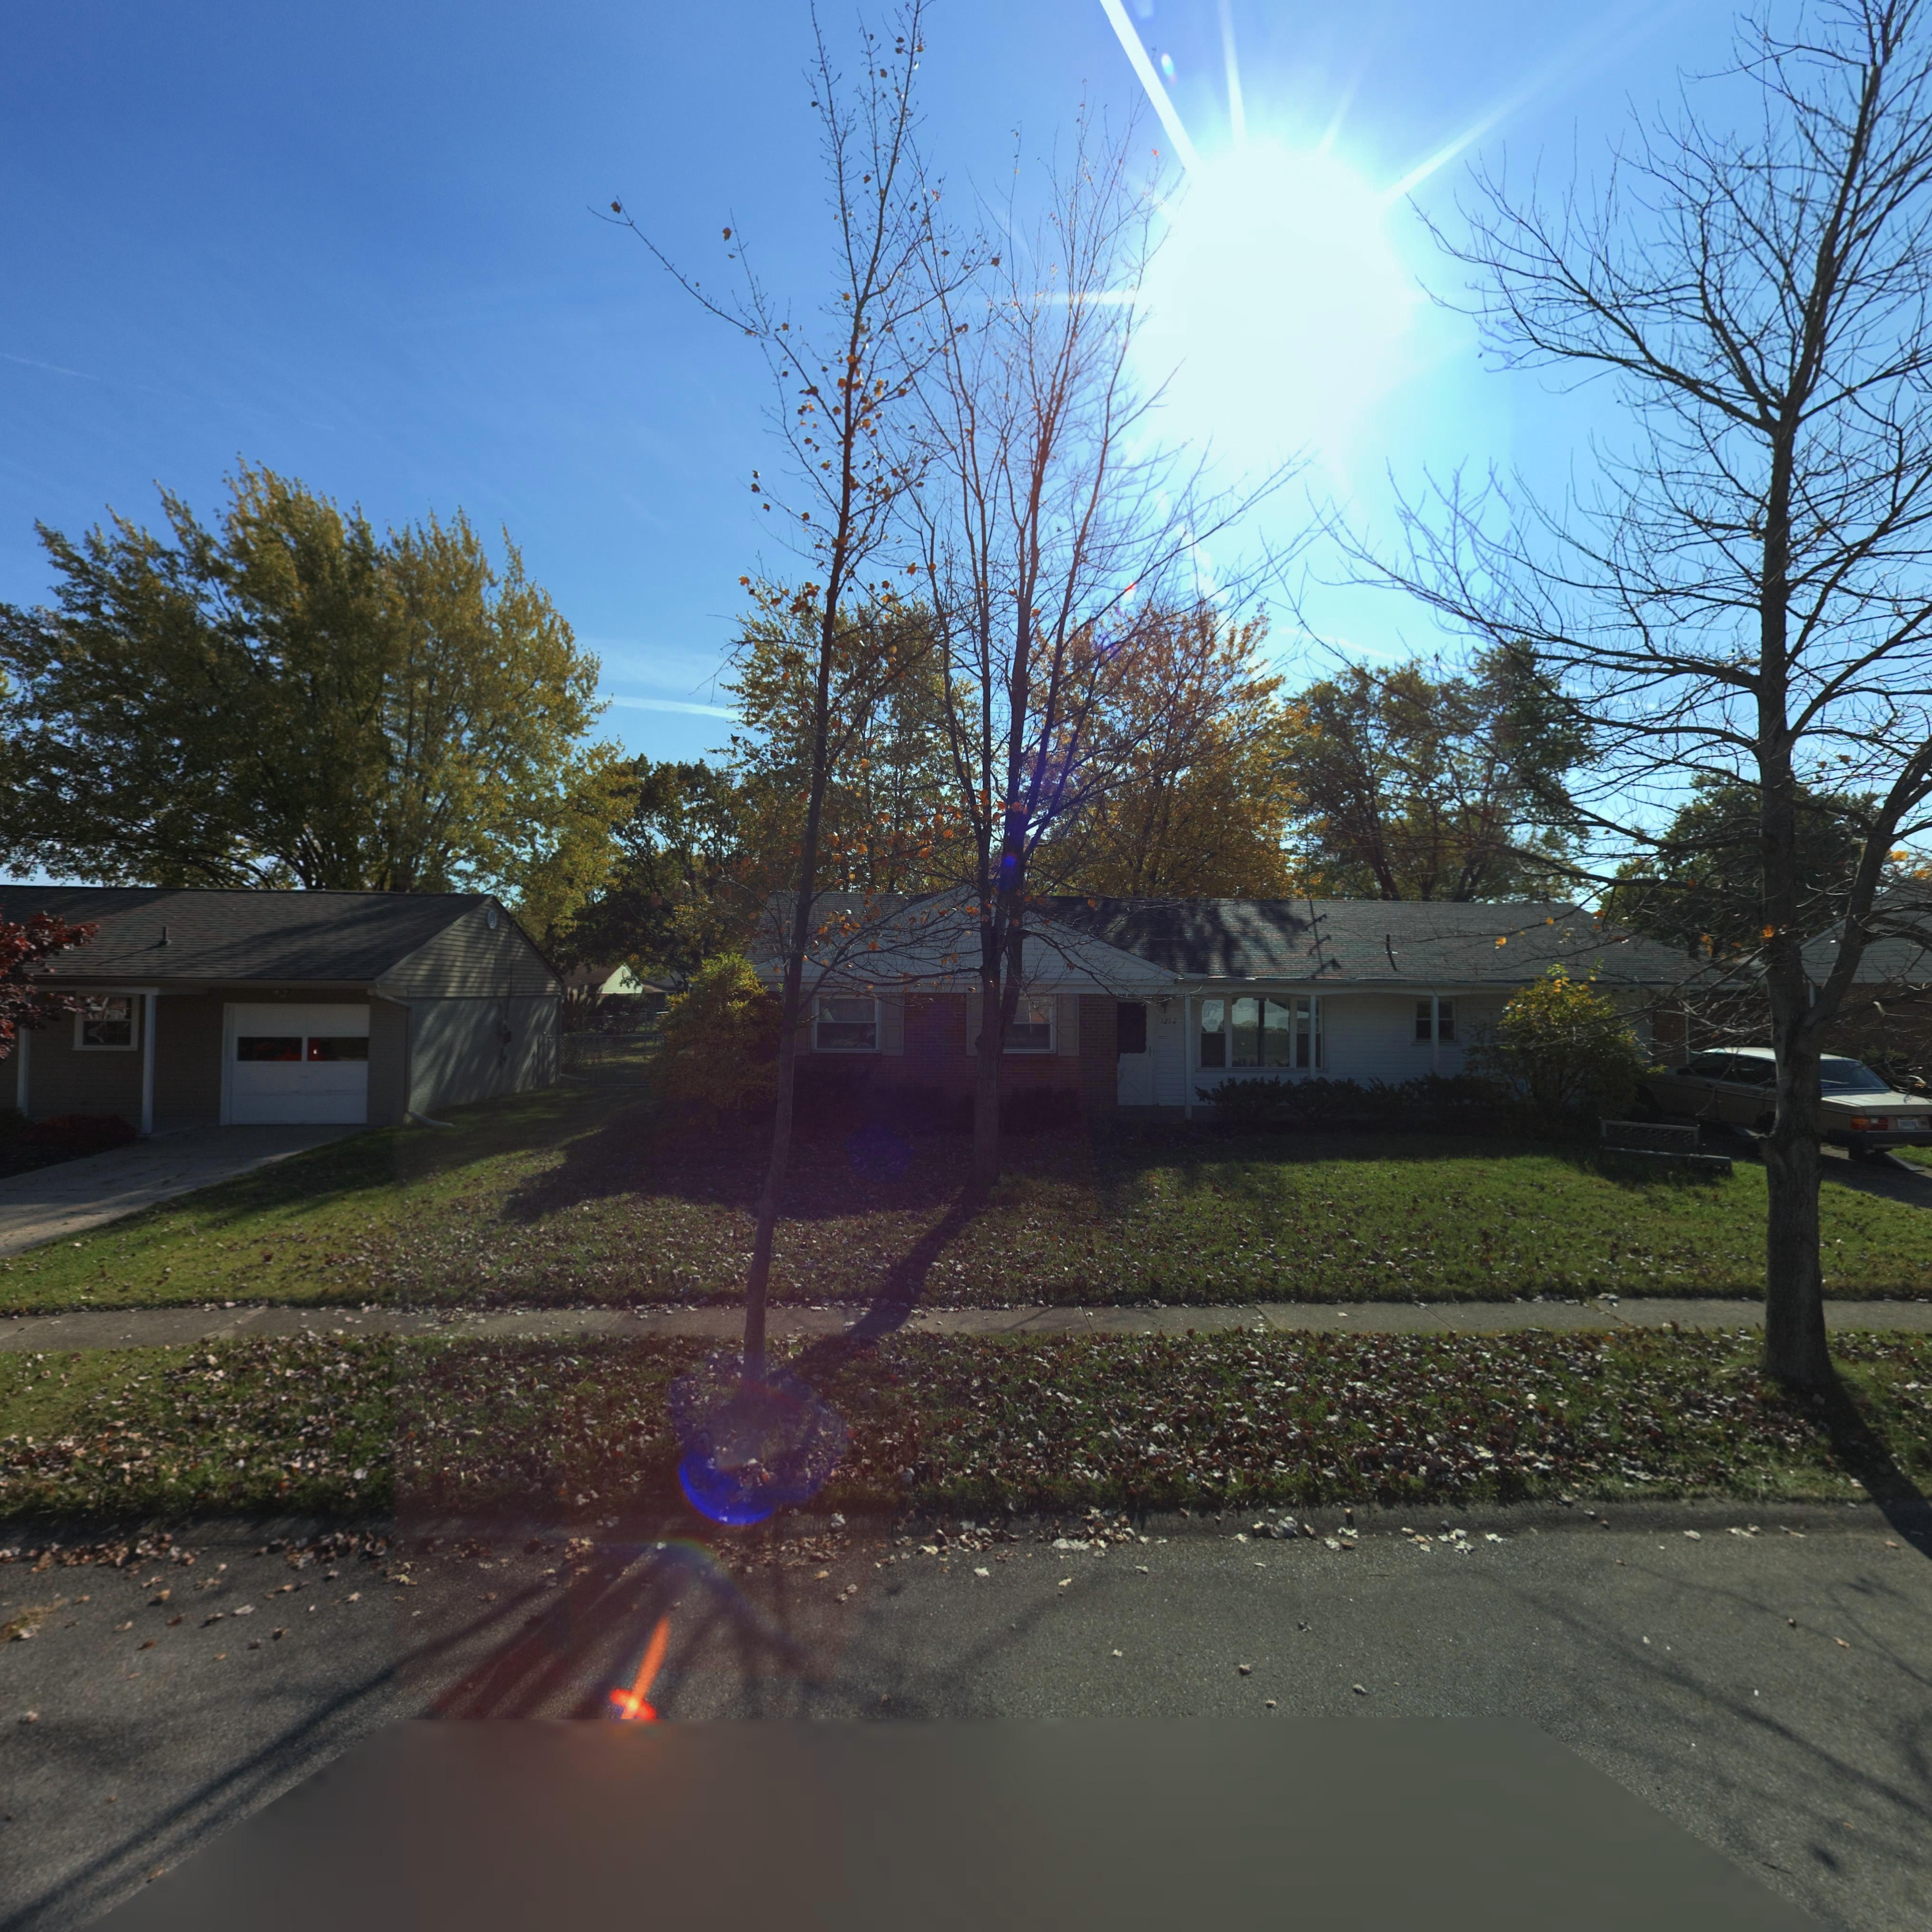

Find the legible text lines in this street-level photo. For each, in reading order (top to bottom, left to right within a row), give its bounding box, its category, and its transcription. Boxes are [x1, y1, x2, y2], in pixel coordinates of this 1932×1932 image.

[1160, 1017, 1177, 1024] StreetNumber: 1218